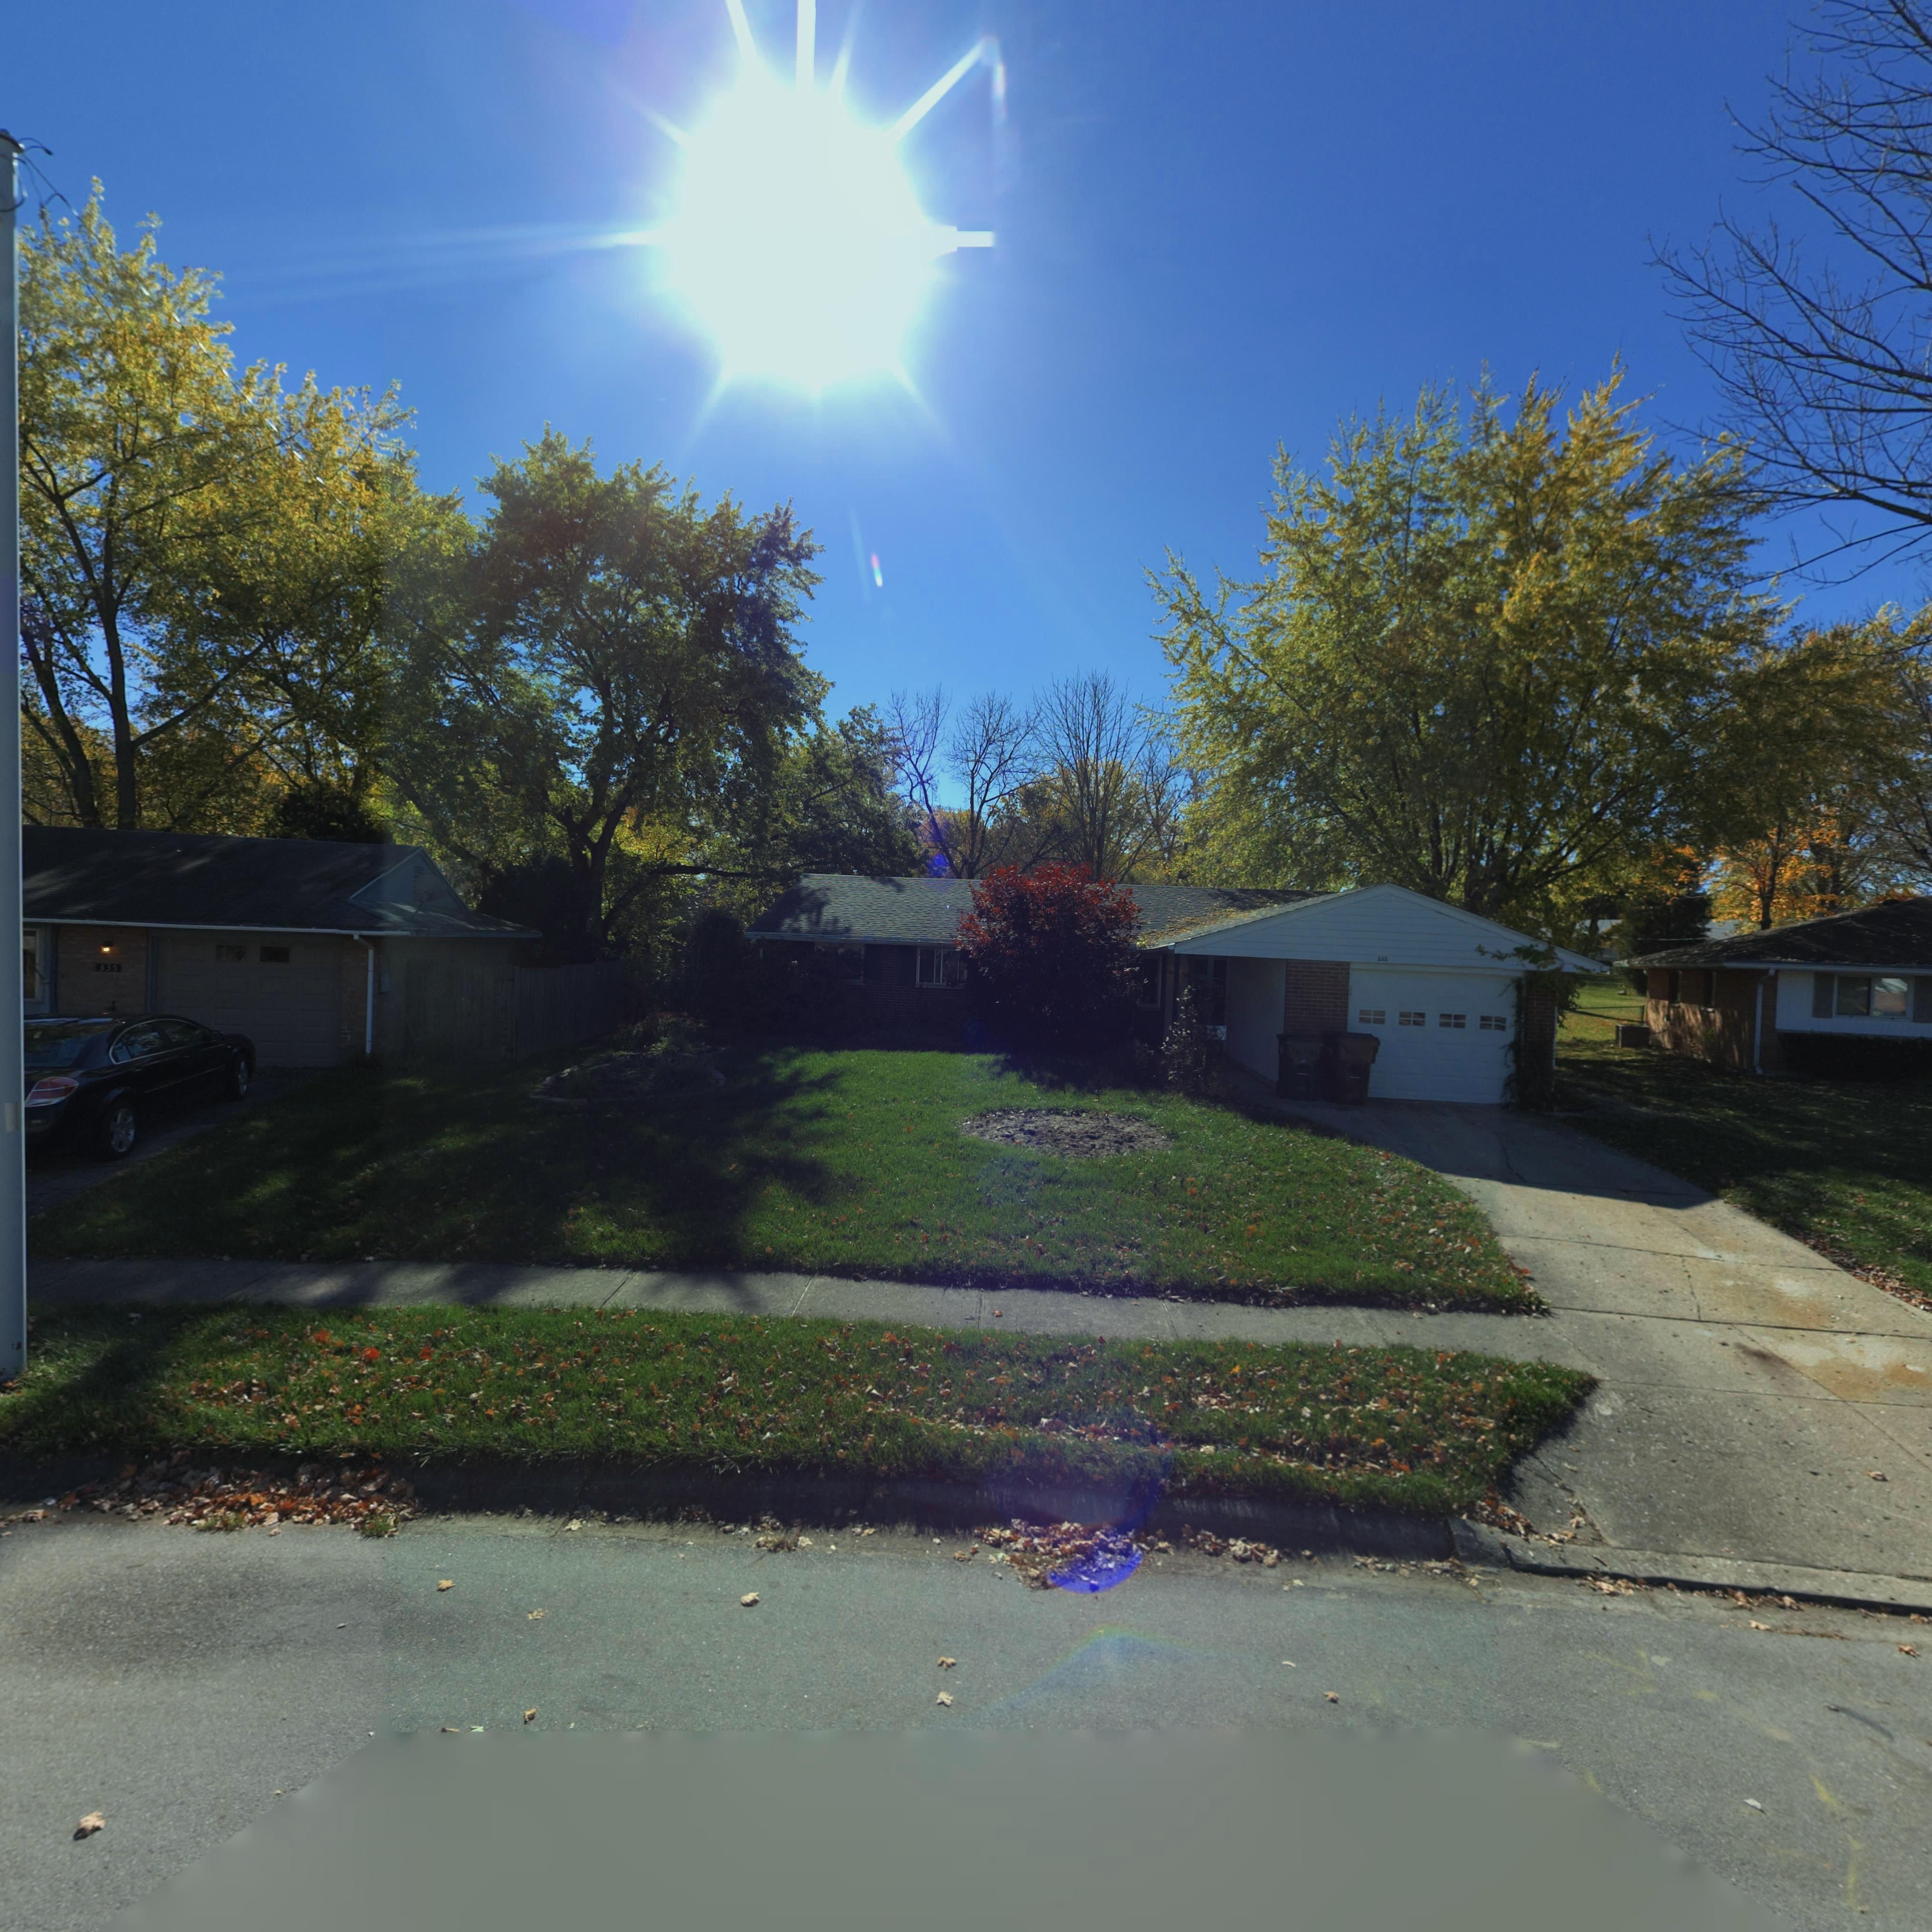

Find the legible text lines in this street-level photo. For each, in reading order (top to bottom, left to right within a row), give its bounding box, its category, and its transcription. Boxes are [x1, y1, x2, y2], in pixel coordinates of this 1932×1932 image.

[1376, 956, 1389, 963] StreetNumber: 333
[98, 963, 118, 972] StreetNumber: 335